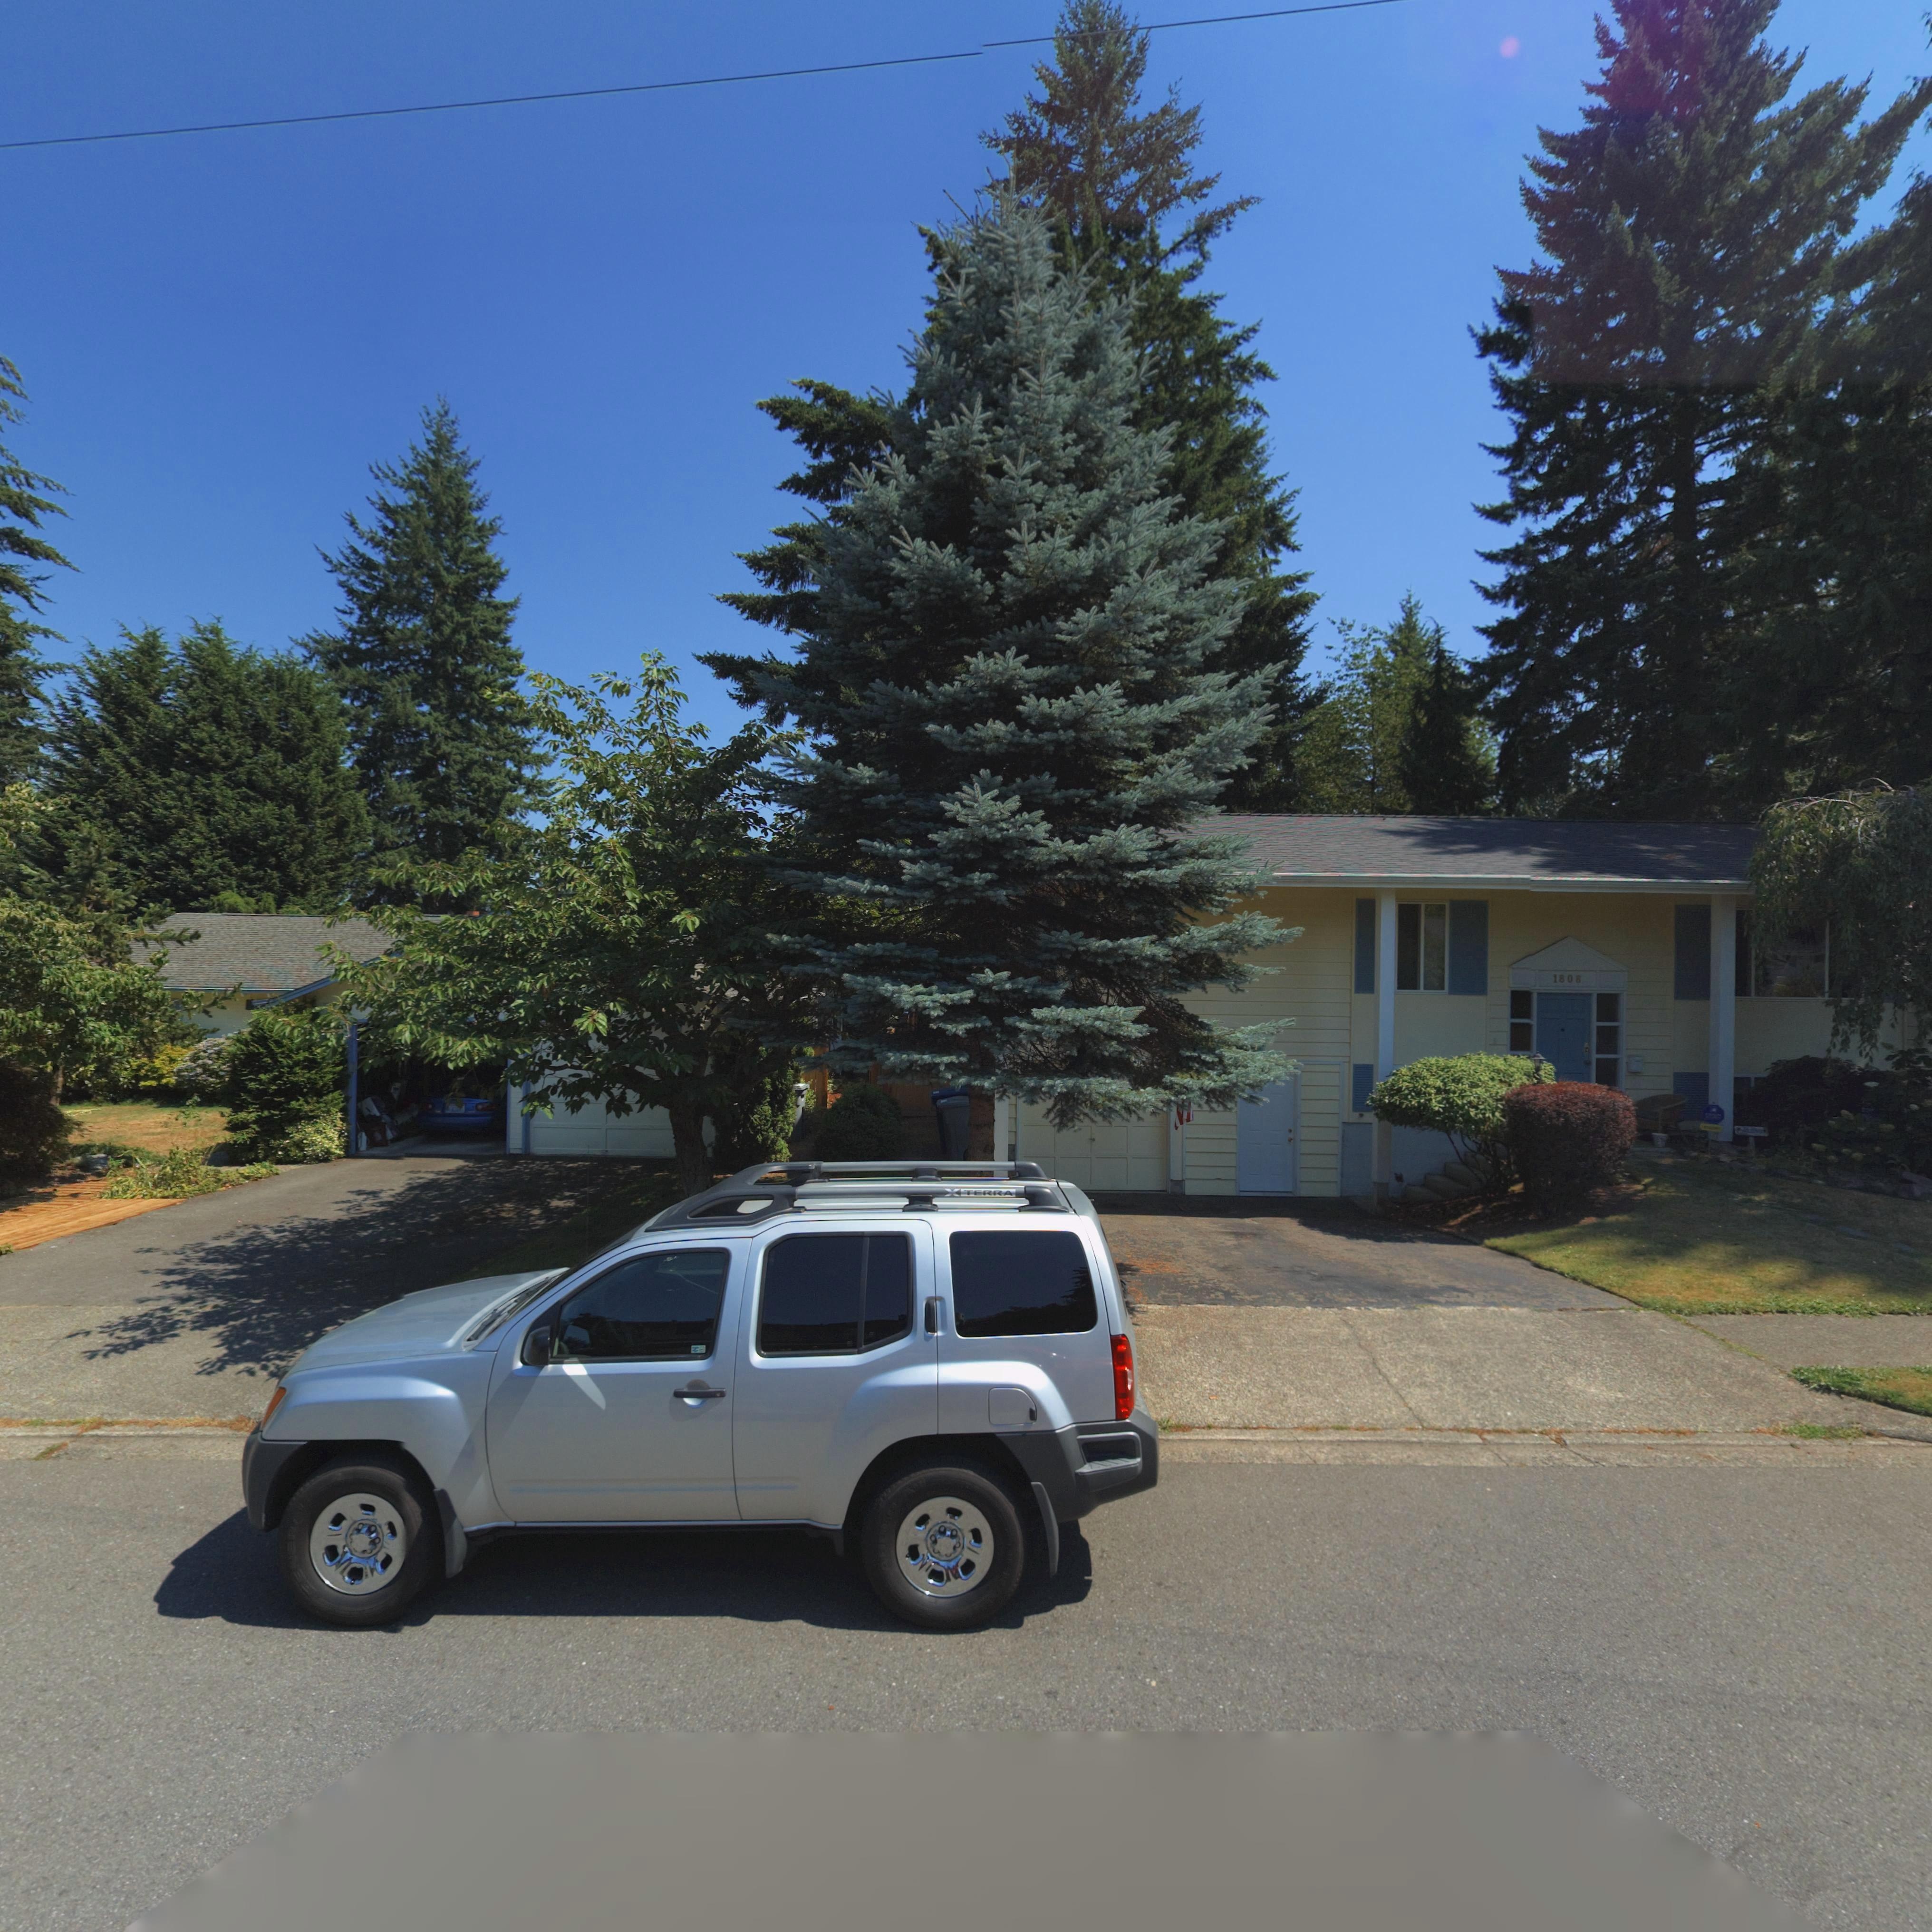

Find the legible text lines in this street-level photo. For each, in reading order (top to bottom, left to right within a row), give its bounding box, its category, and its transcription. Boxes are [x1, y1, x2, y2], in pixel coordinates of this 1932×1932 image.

[1553, 974, 1581, 984] StreetNumber: 1808